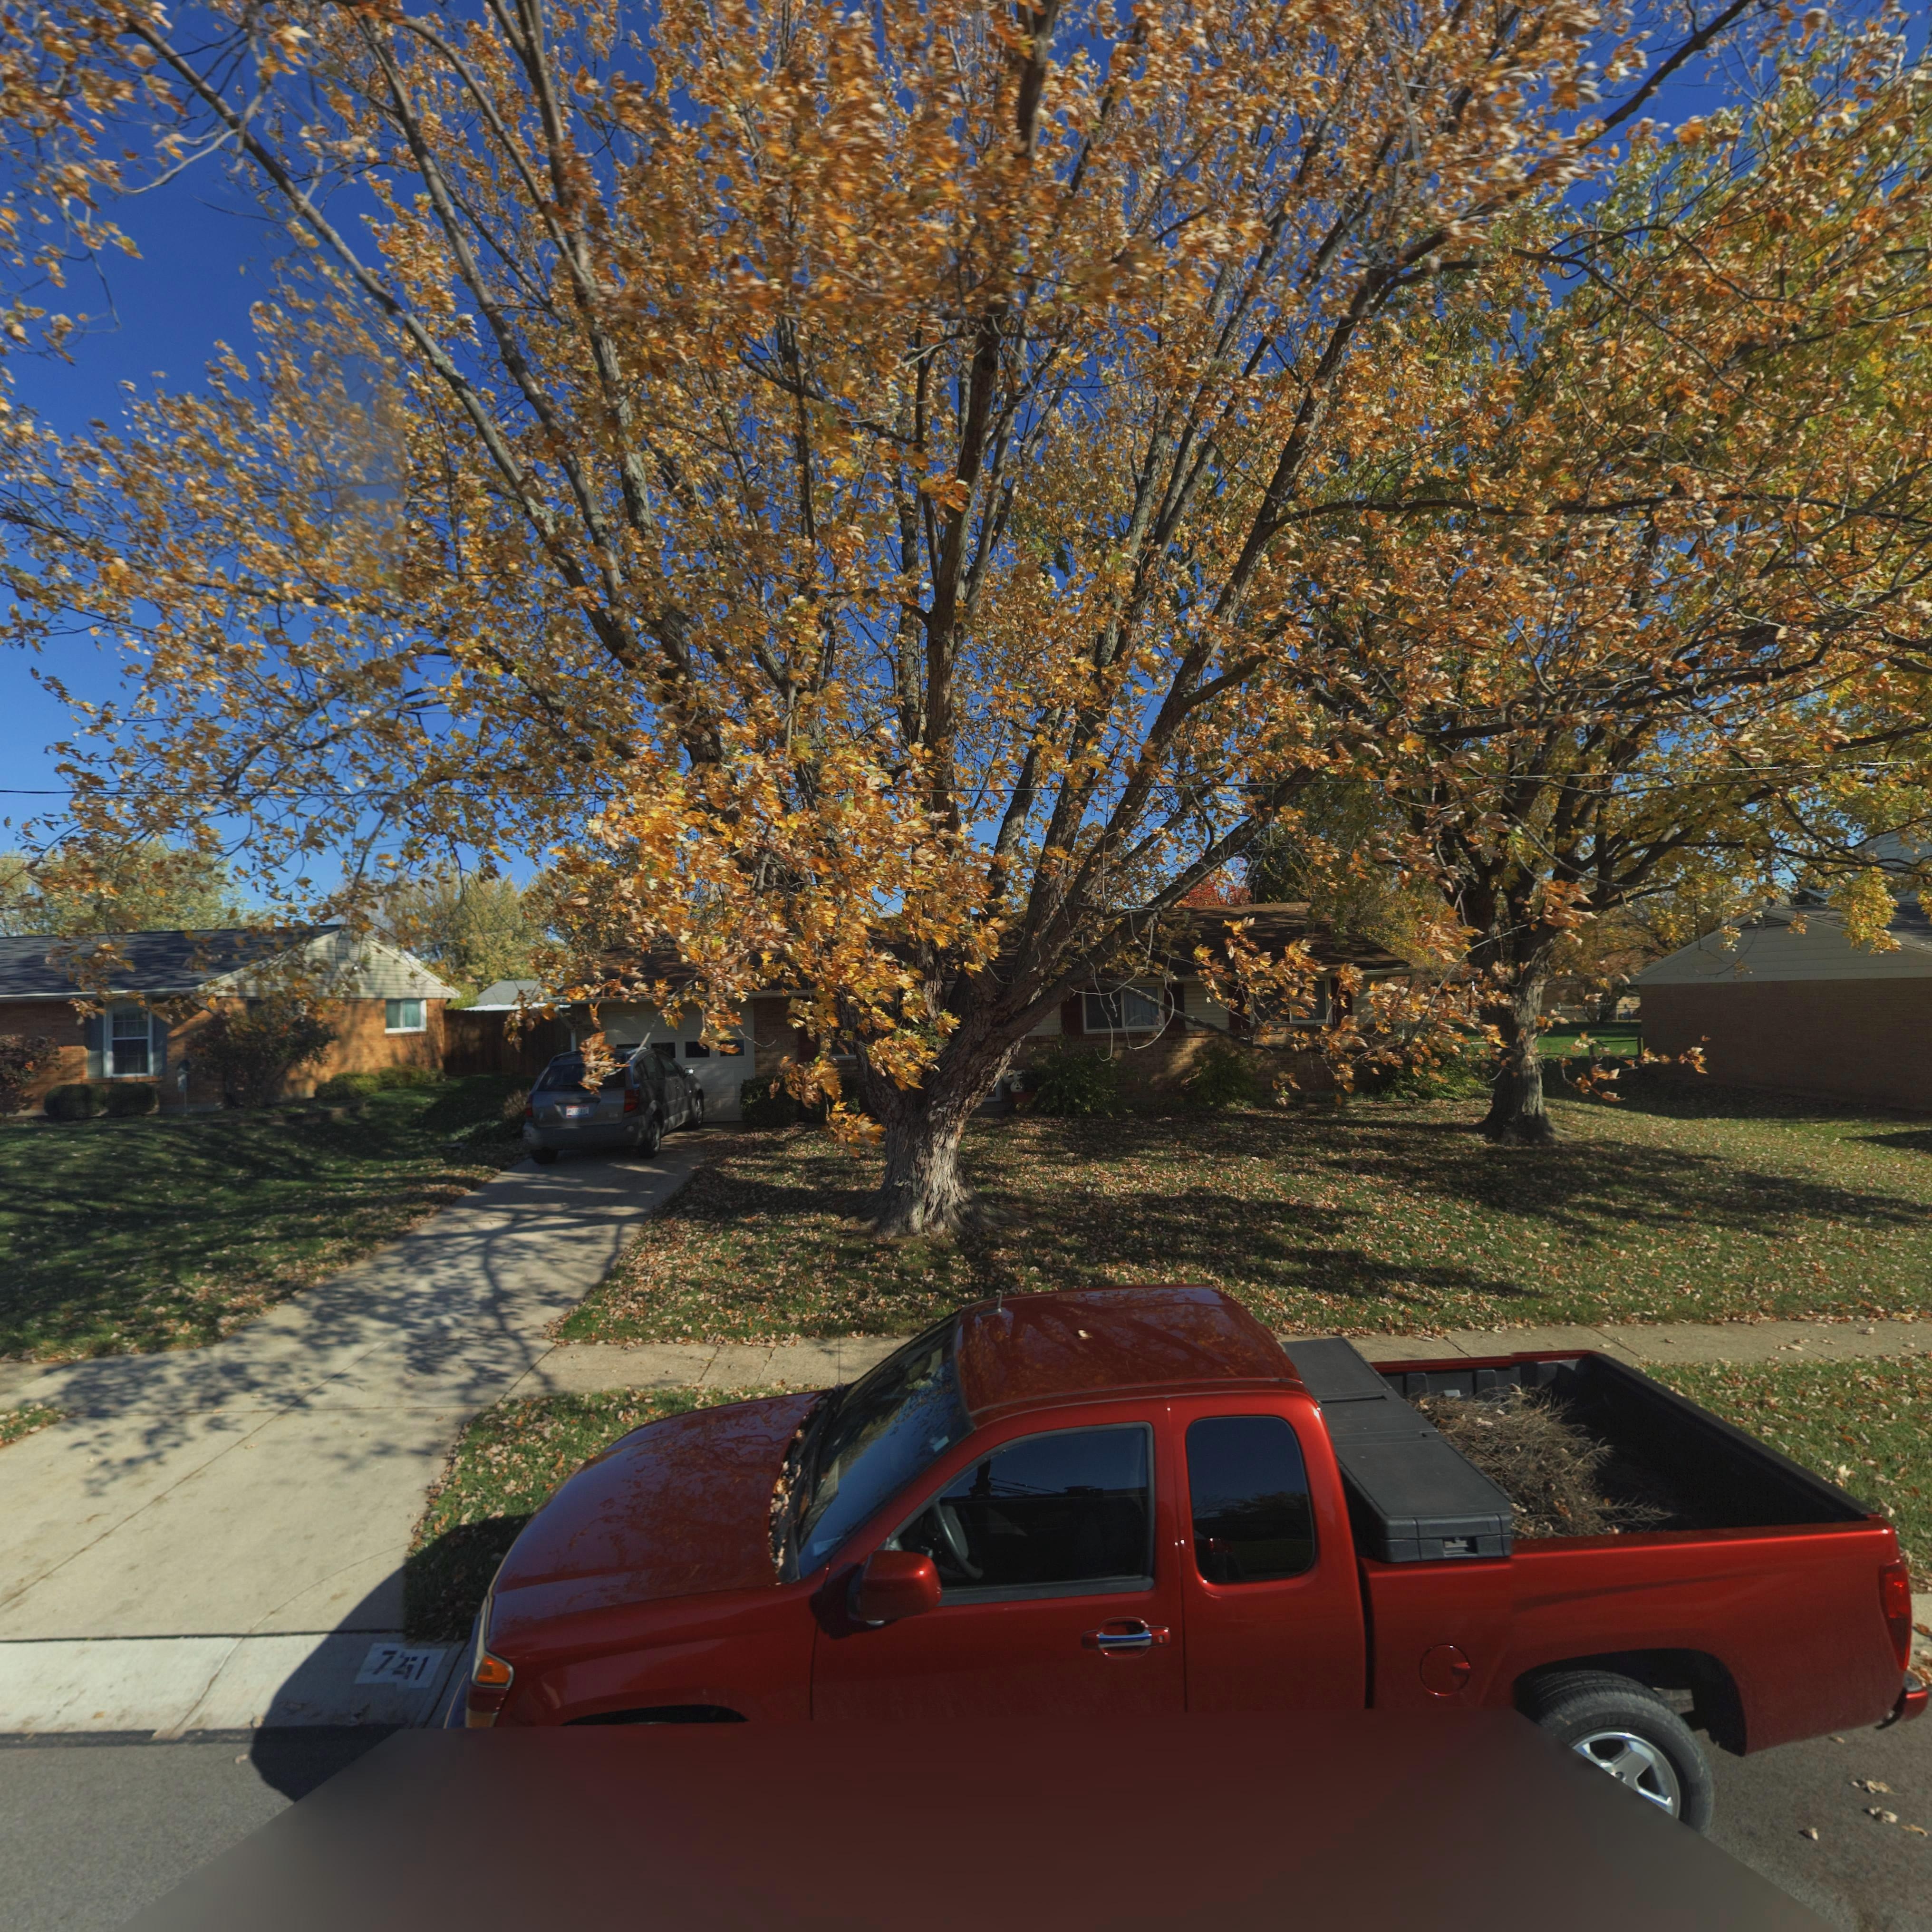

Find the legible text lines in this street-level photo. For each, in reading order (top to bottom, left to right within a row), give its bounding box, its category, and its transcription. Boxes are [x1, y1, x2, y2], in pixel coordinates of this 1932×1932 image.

[369, 1647, 434, 1683] StreetNumber: 7*1